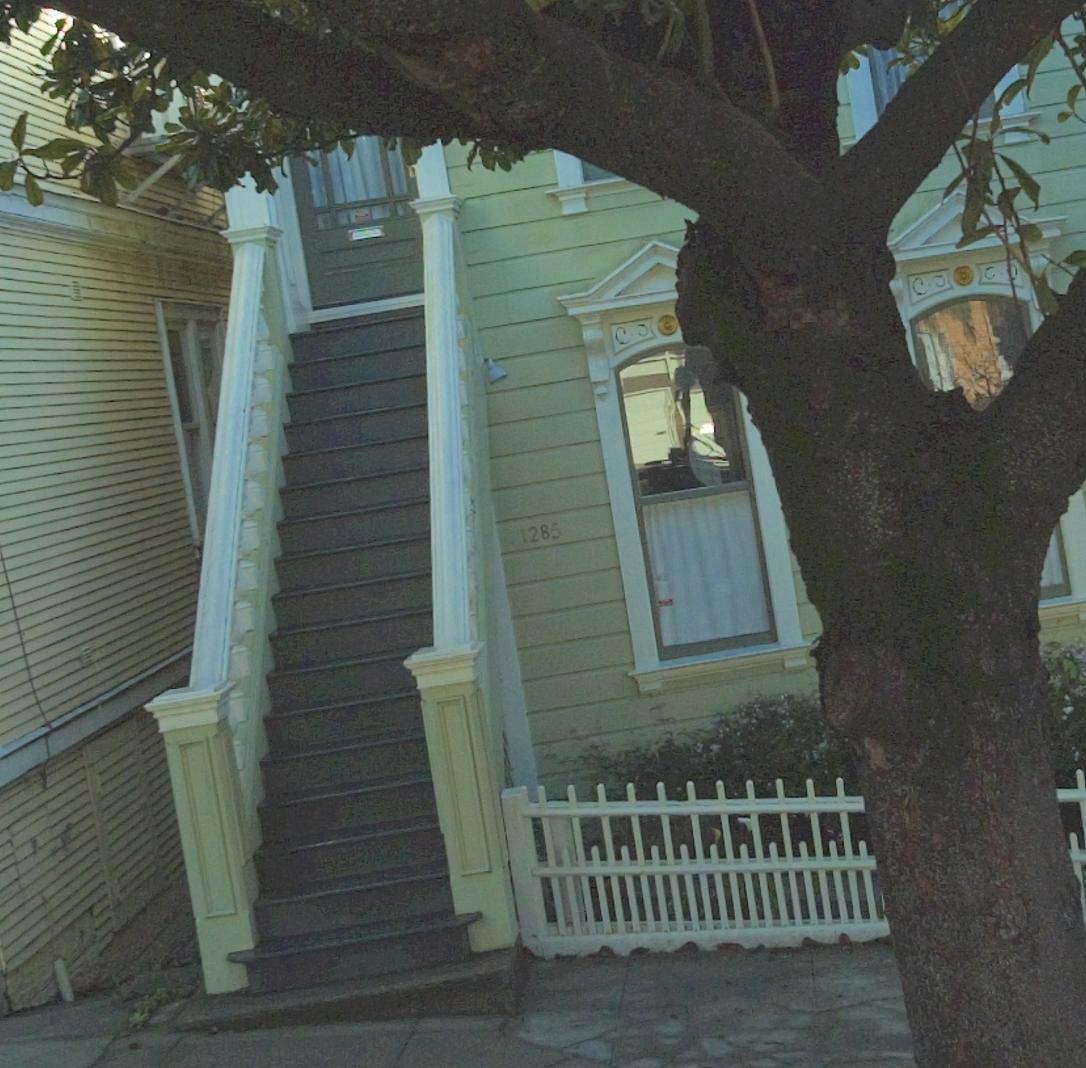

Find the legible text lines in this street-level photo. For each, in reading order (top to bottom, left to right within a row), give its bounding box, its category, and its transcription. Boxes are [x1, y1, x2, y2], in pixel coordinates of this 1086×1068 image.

[517, 521, 564, 545] StreetNumber: 1285